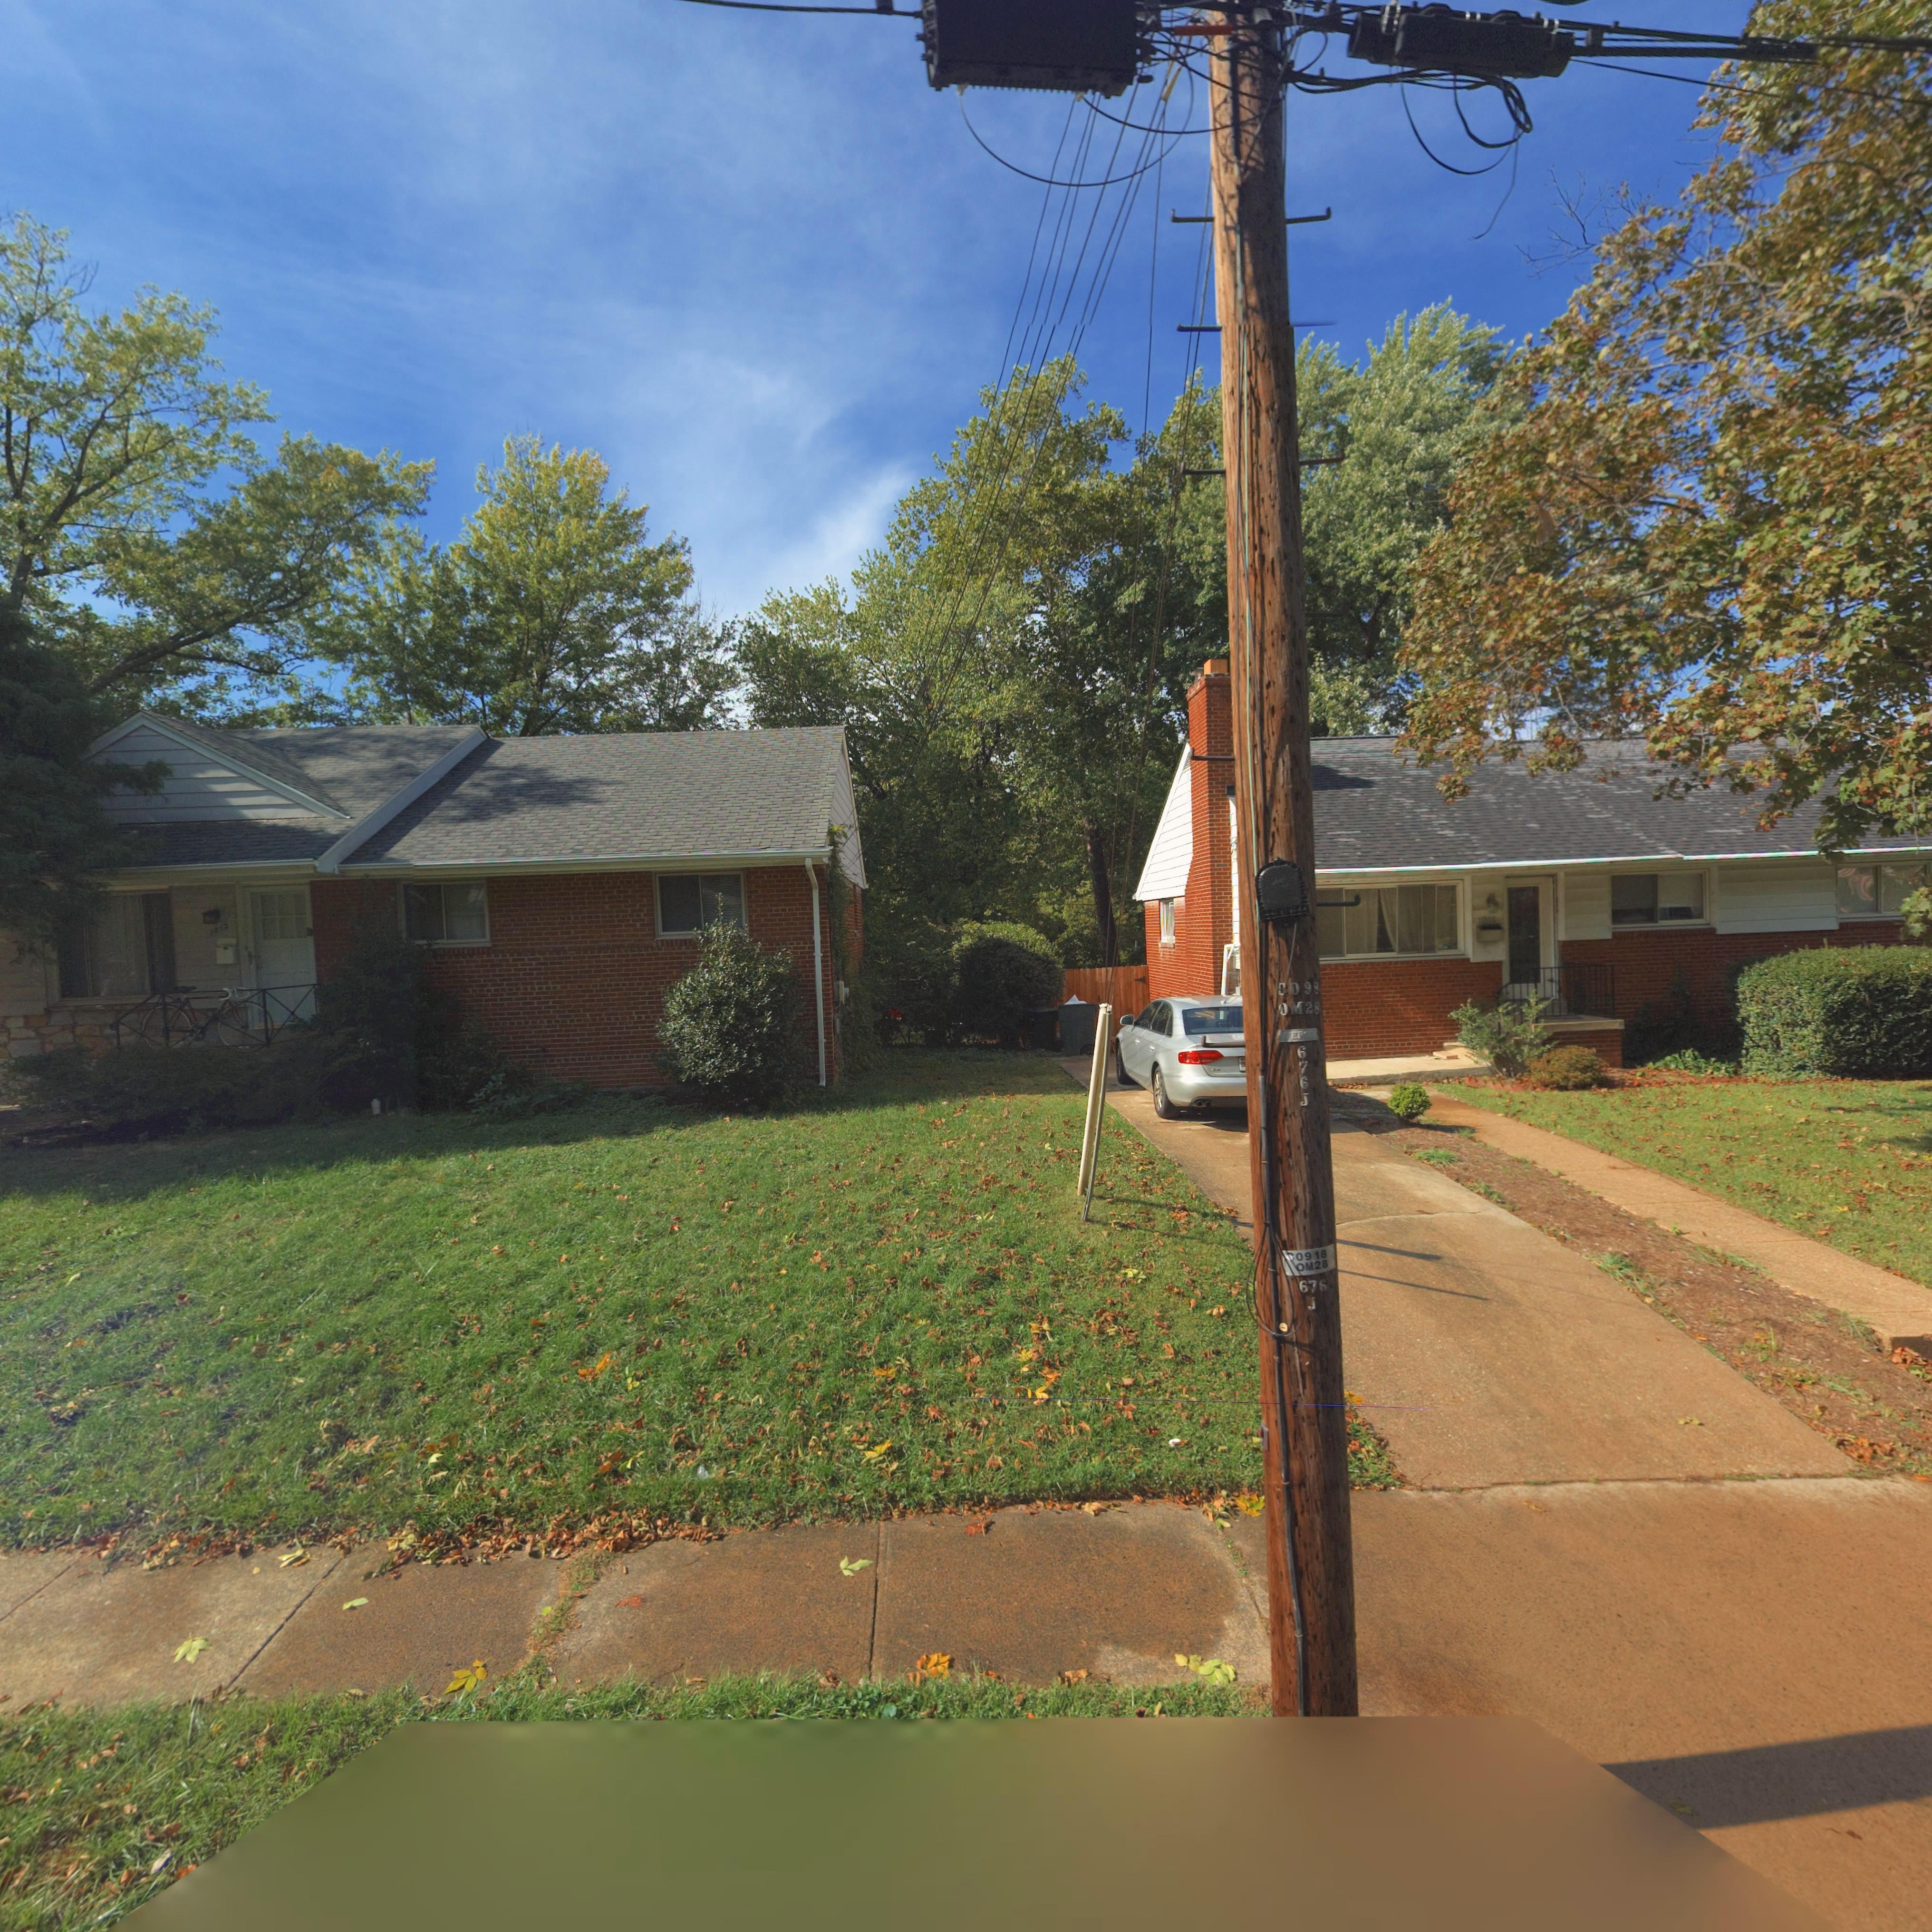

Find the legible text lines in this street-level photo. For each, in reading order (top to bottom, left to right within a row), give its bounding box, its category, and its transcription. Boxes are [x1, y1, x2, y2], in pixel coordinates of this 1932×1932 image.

[1477, 916, 1497, 925] StreetNumber: 11815
[209, 922, 230, 937] StreetNumber: 1812
[1277, 981, 1320, 996] None: CO98
[1278, 1001, 1320, 1016] None: ON28
[1210, 1066, 1221, 1072] None: A4
[1296, 1044, 1311, 1107] None: 676J
[1284, 1249, 1328, 1262] None: CO918
[1296, 1259, 1329, 1272] None: OM28
[1299, 1278, 1329, 1294] None: 676
[1306, 1296, 1317, 1312] None: J